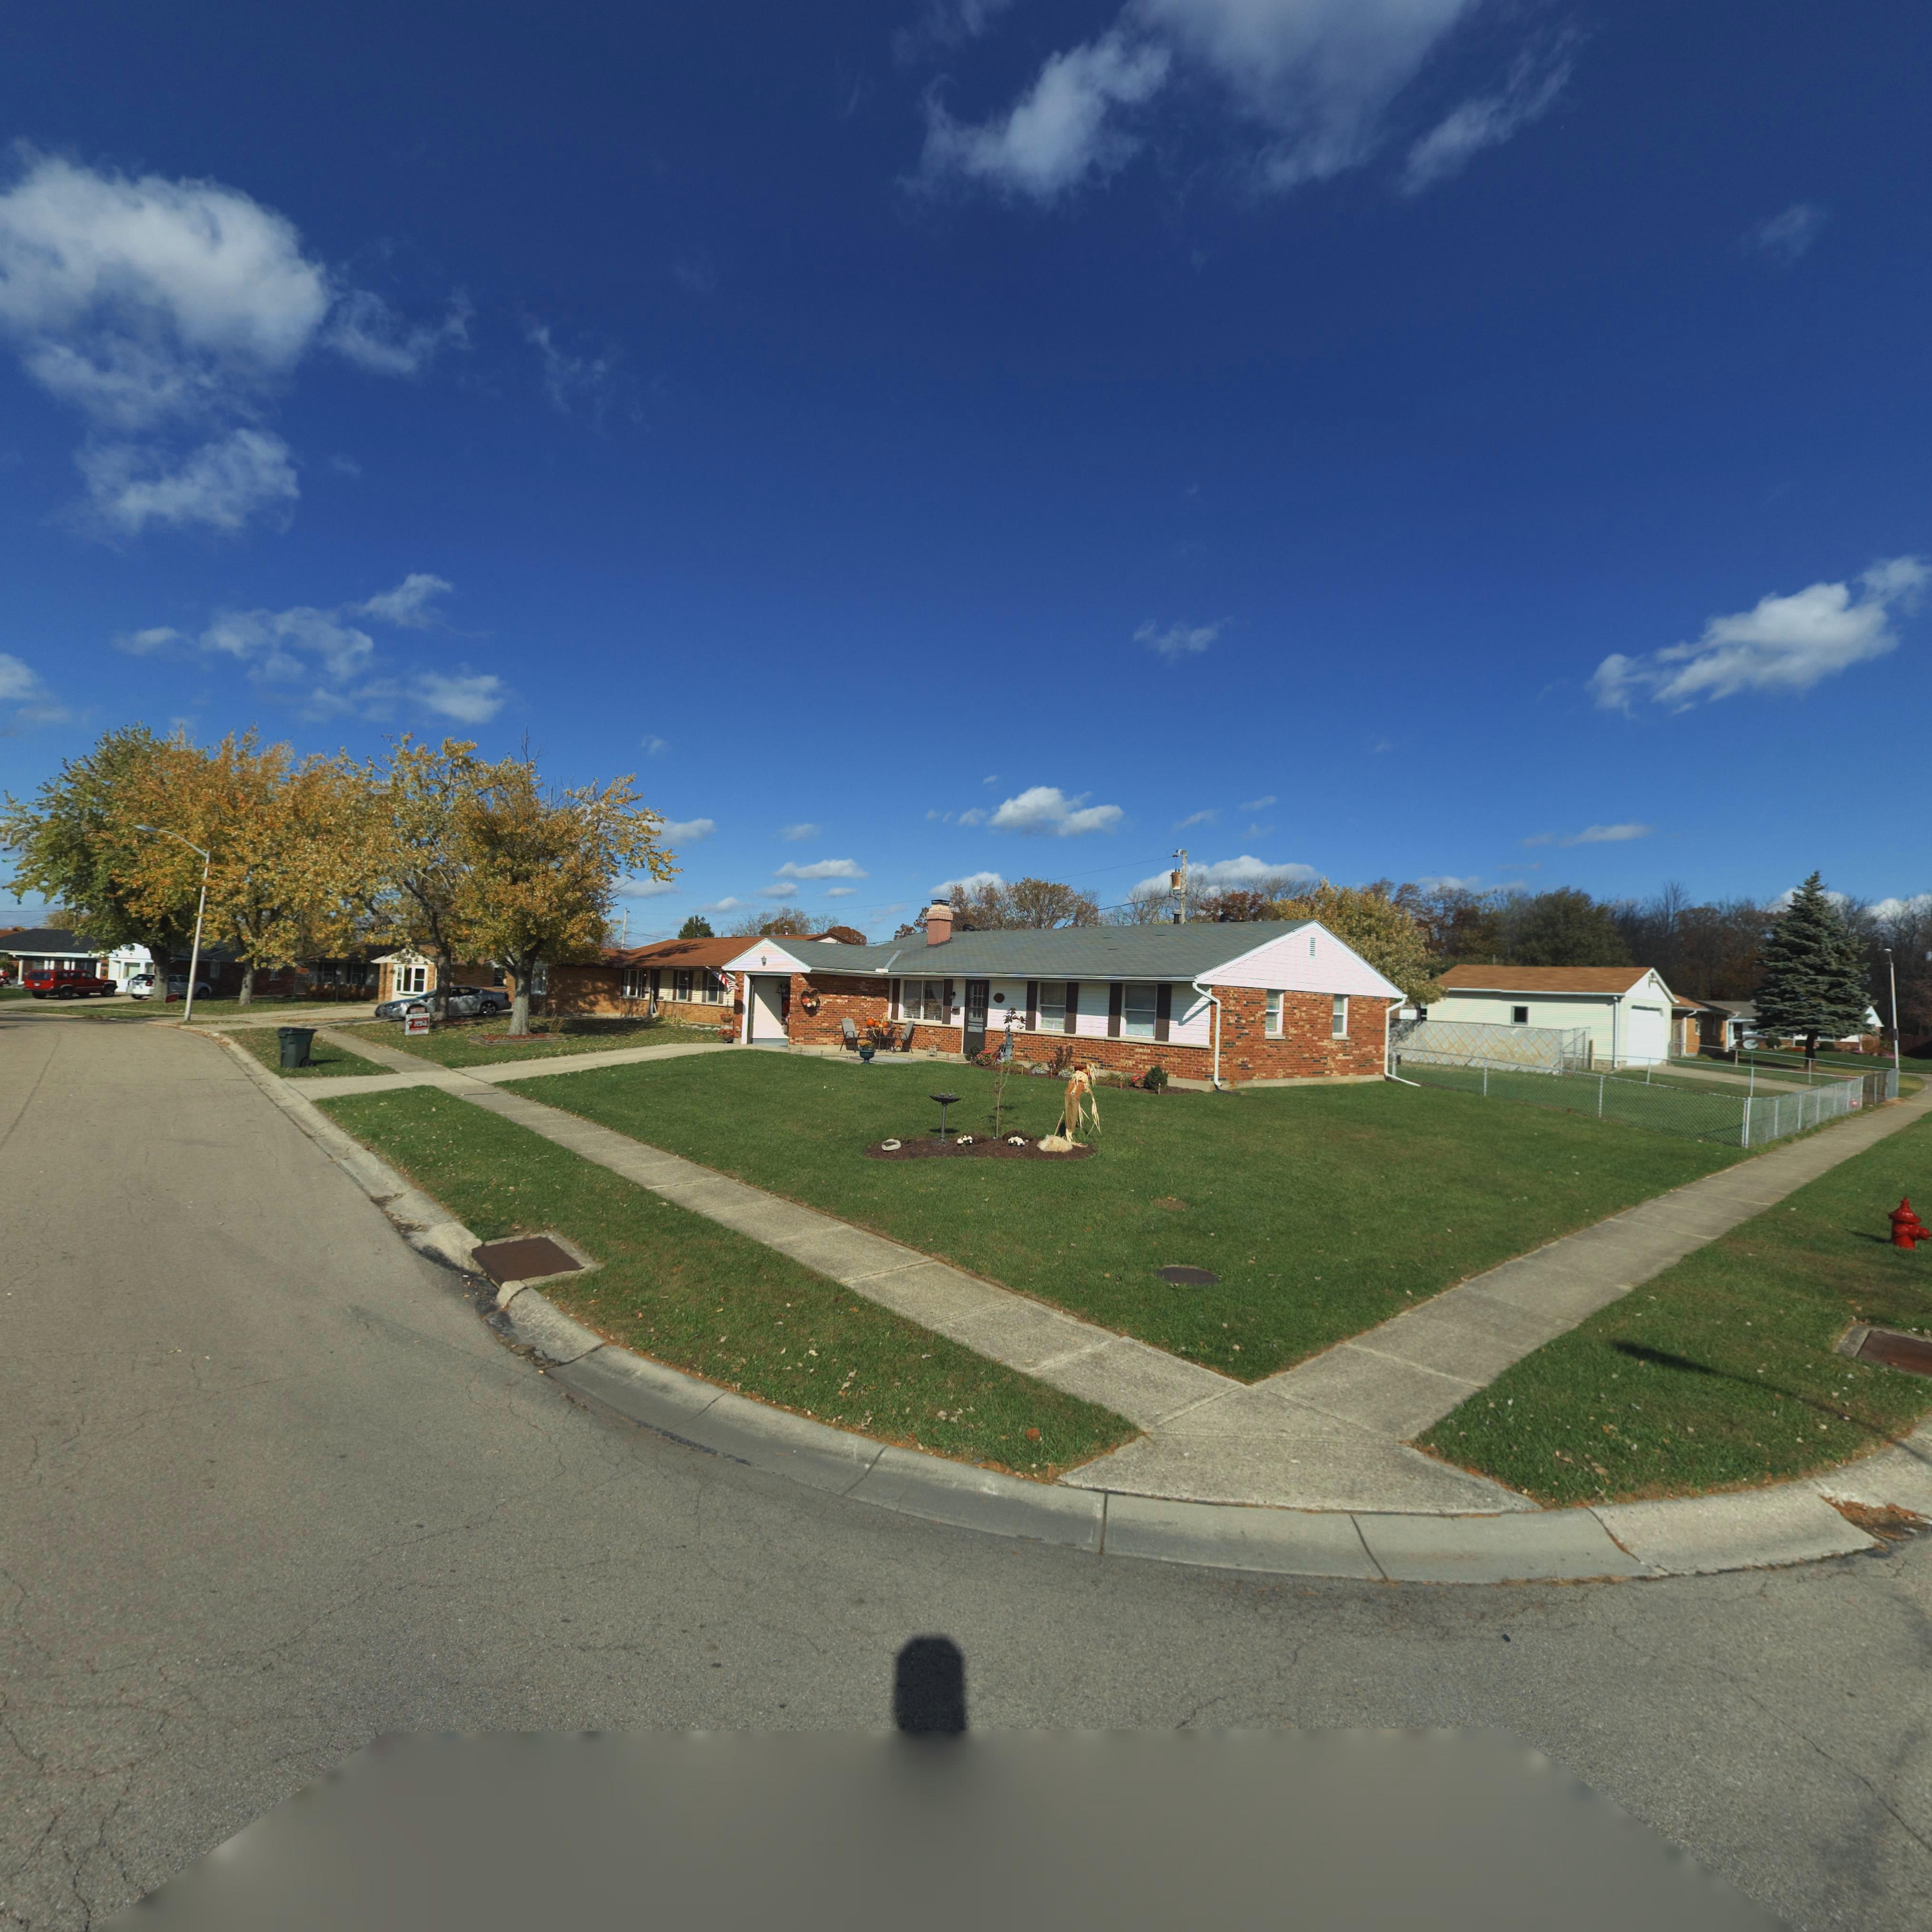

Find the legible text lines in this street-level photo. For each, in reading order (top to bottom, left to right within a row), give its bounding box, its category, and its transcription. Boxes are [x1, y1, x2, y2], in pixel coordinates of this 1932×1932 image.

[994, 995, 1003, 1001] StreetNumber: 7*21